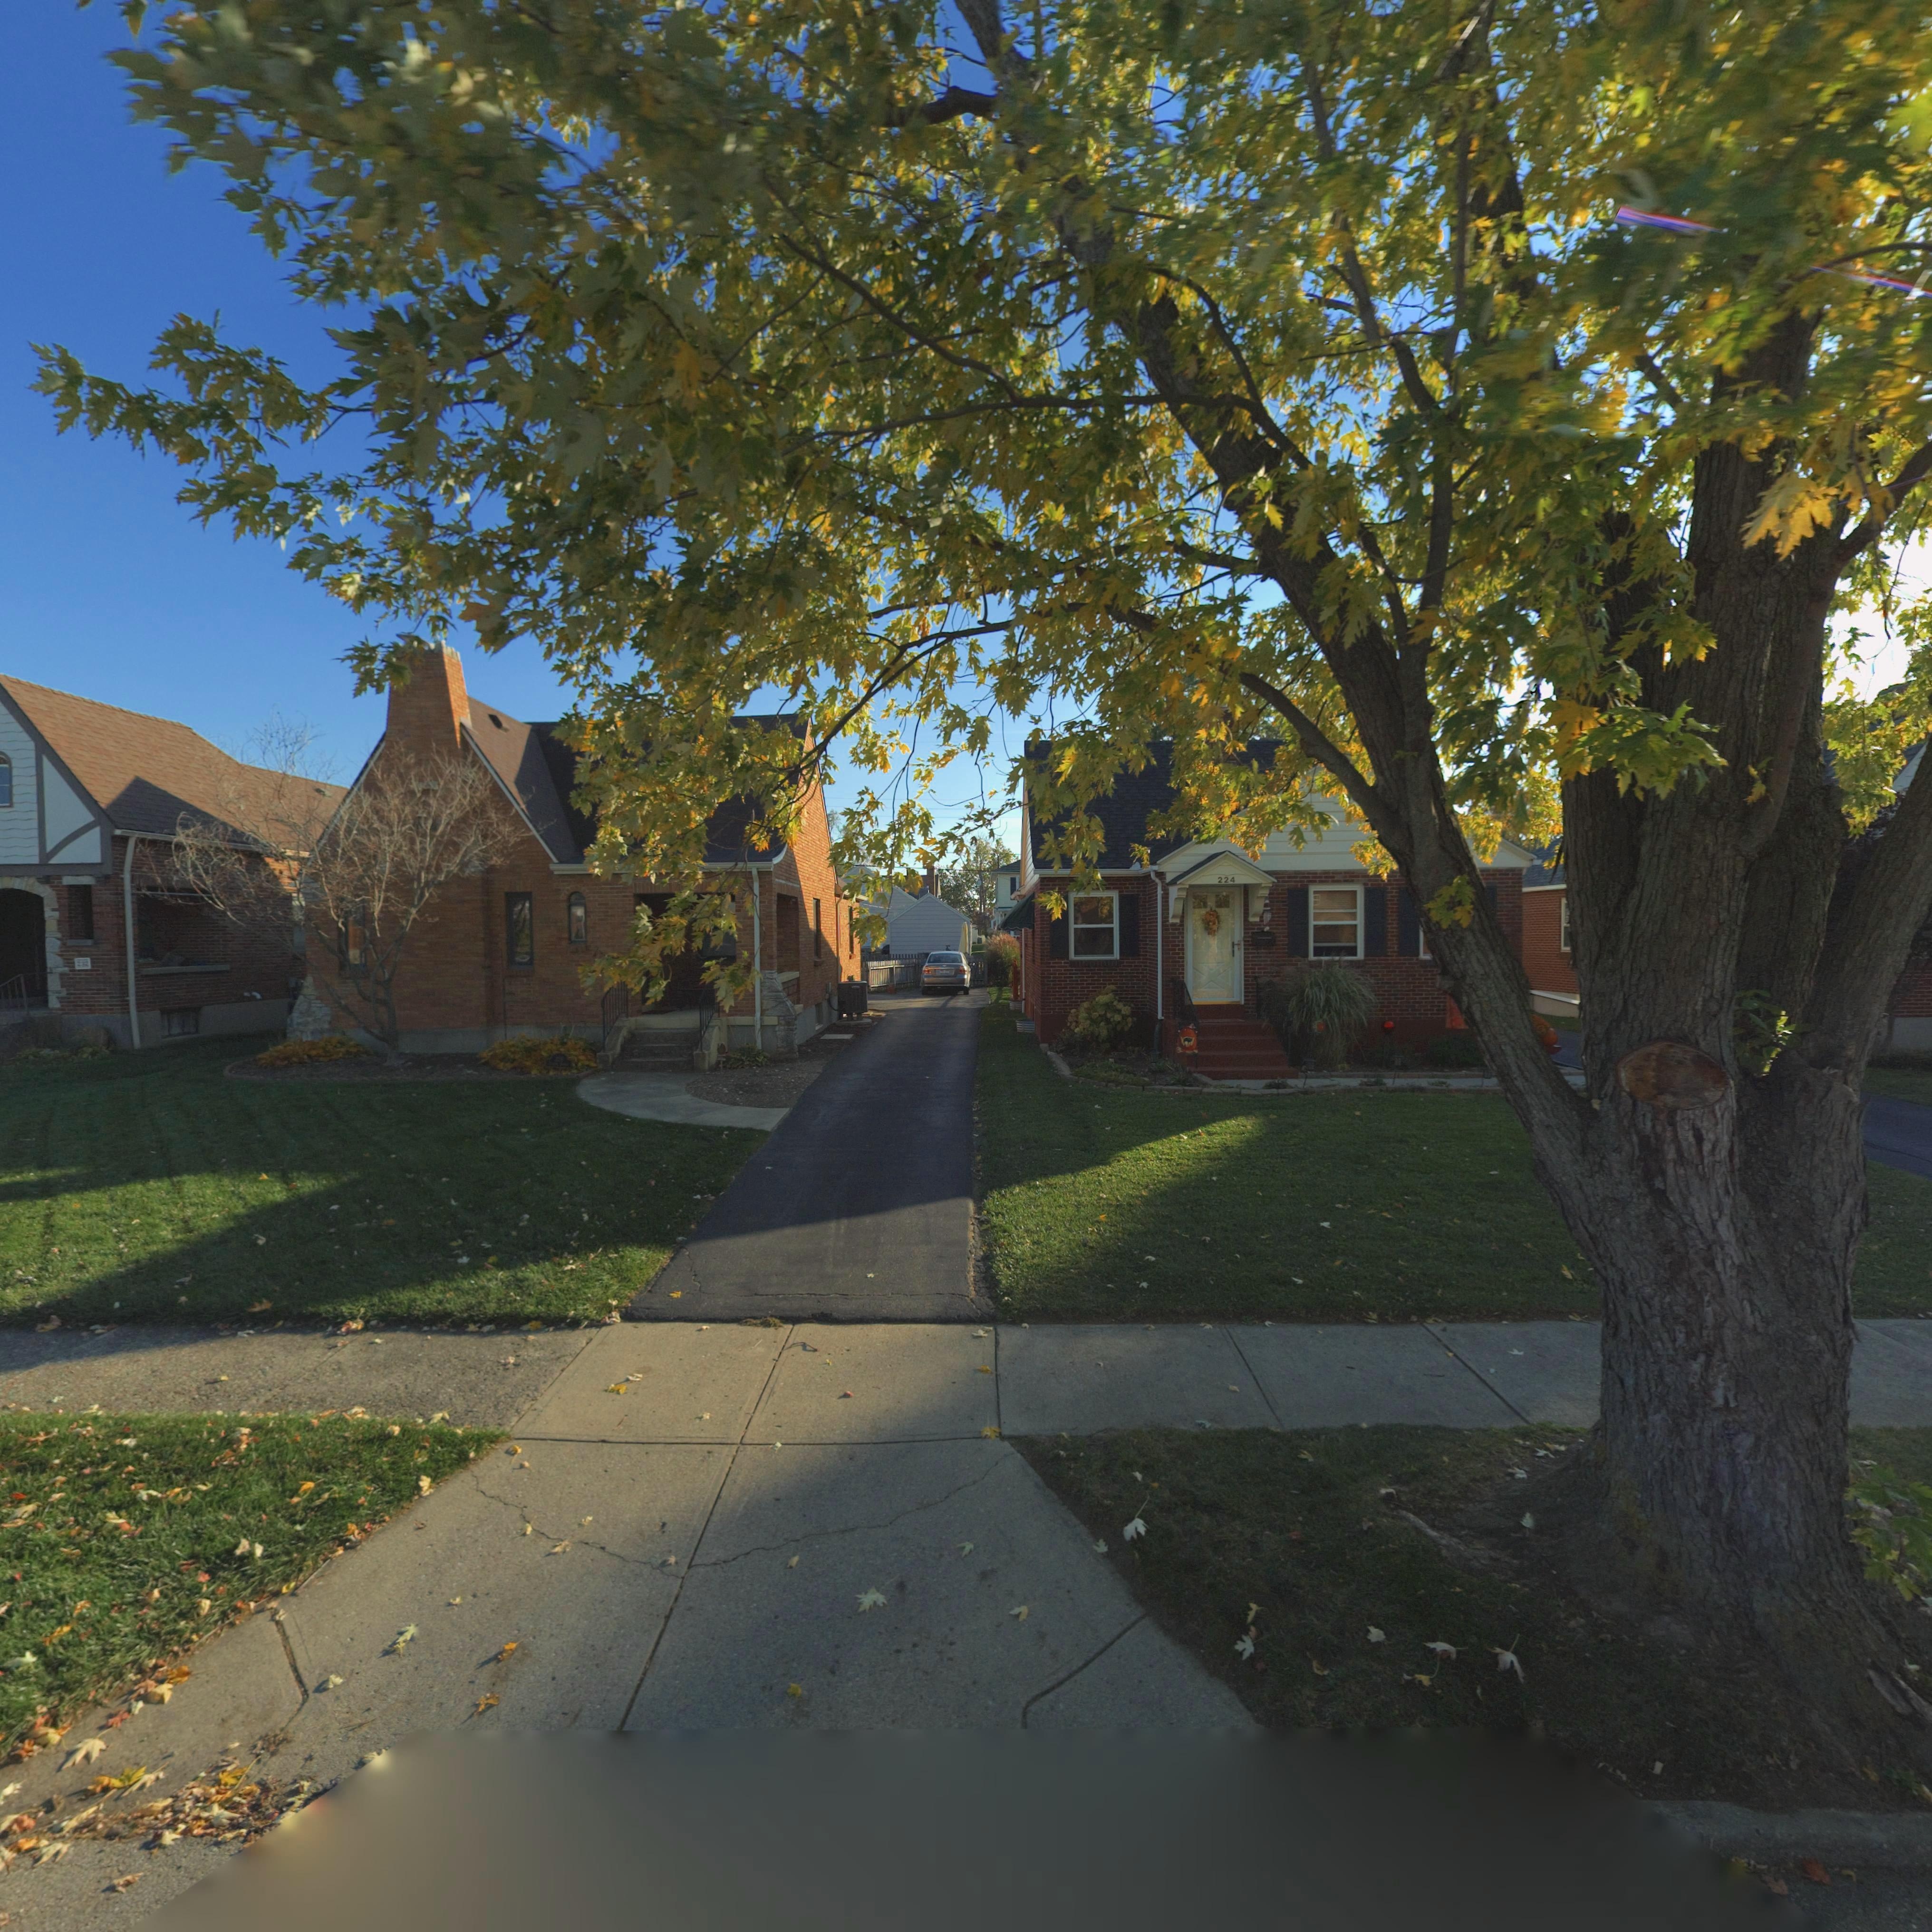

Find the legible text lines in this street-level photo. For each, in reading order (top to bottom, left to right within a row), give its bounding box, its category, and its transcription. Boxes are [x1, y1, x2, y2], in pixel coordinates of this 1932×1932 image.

[1217, 876, 1236, 884] StreetNumber: 224
[76, 959, 89, 966] StreetNumber: 232